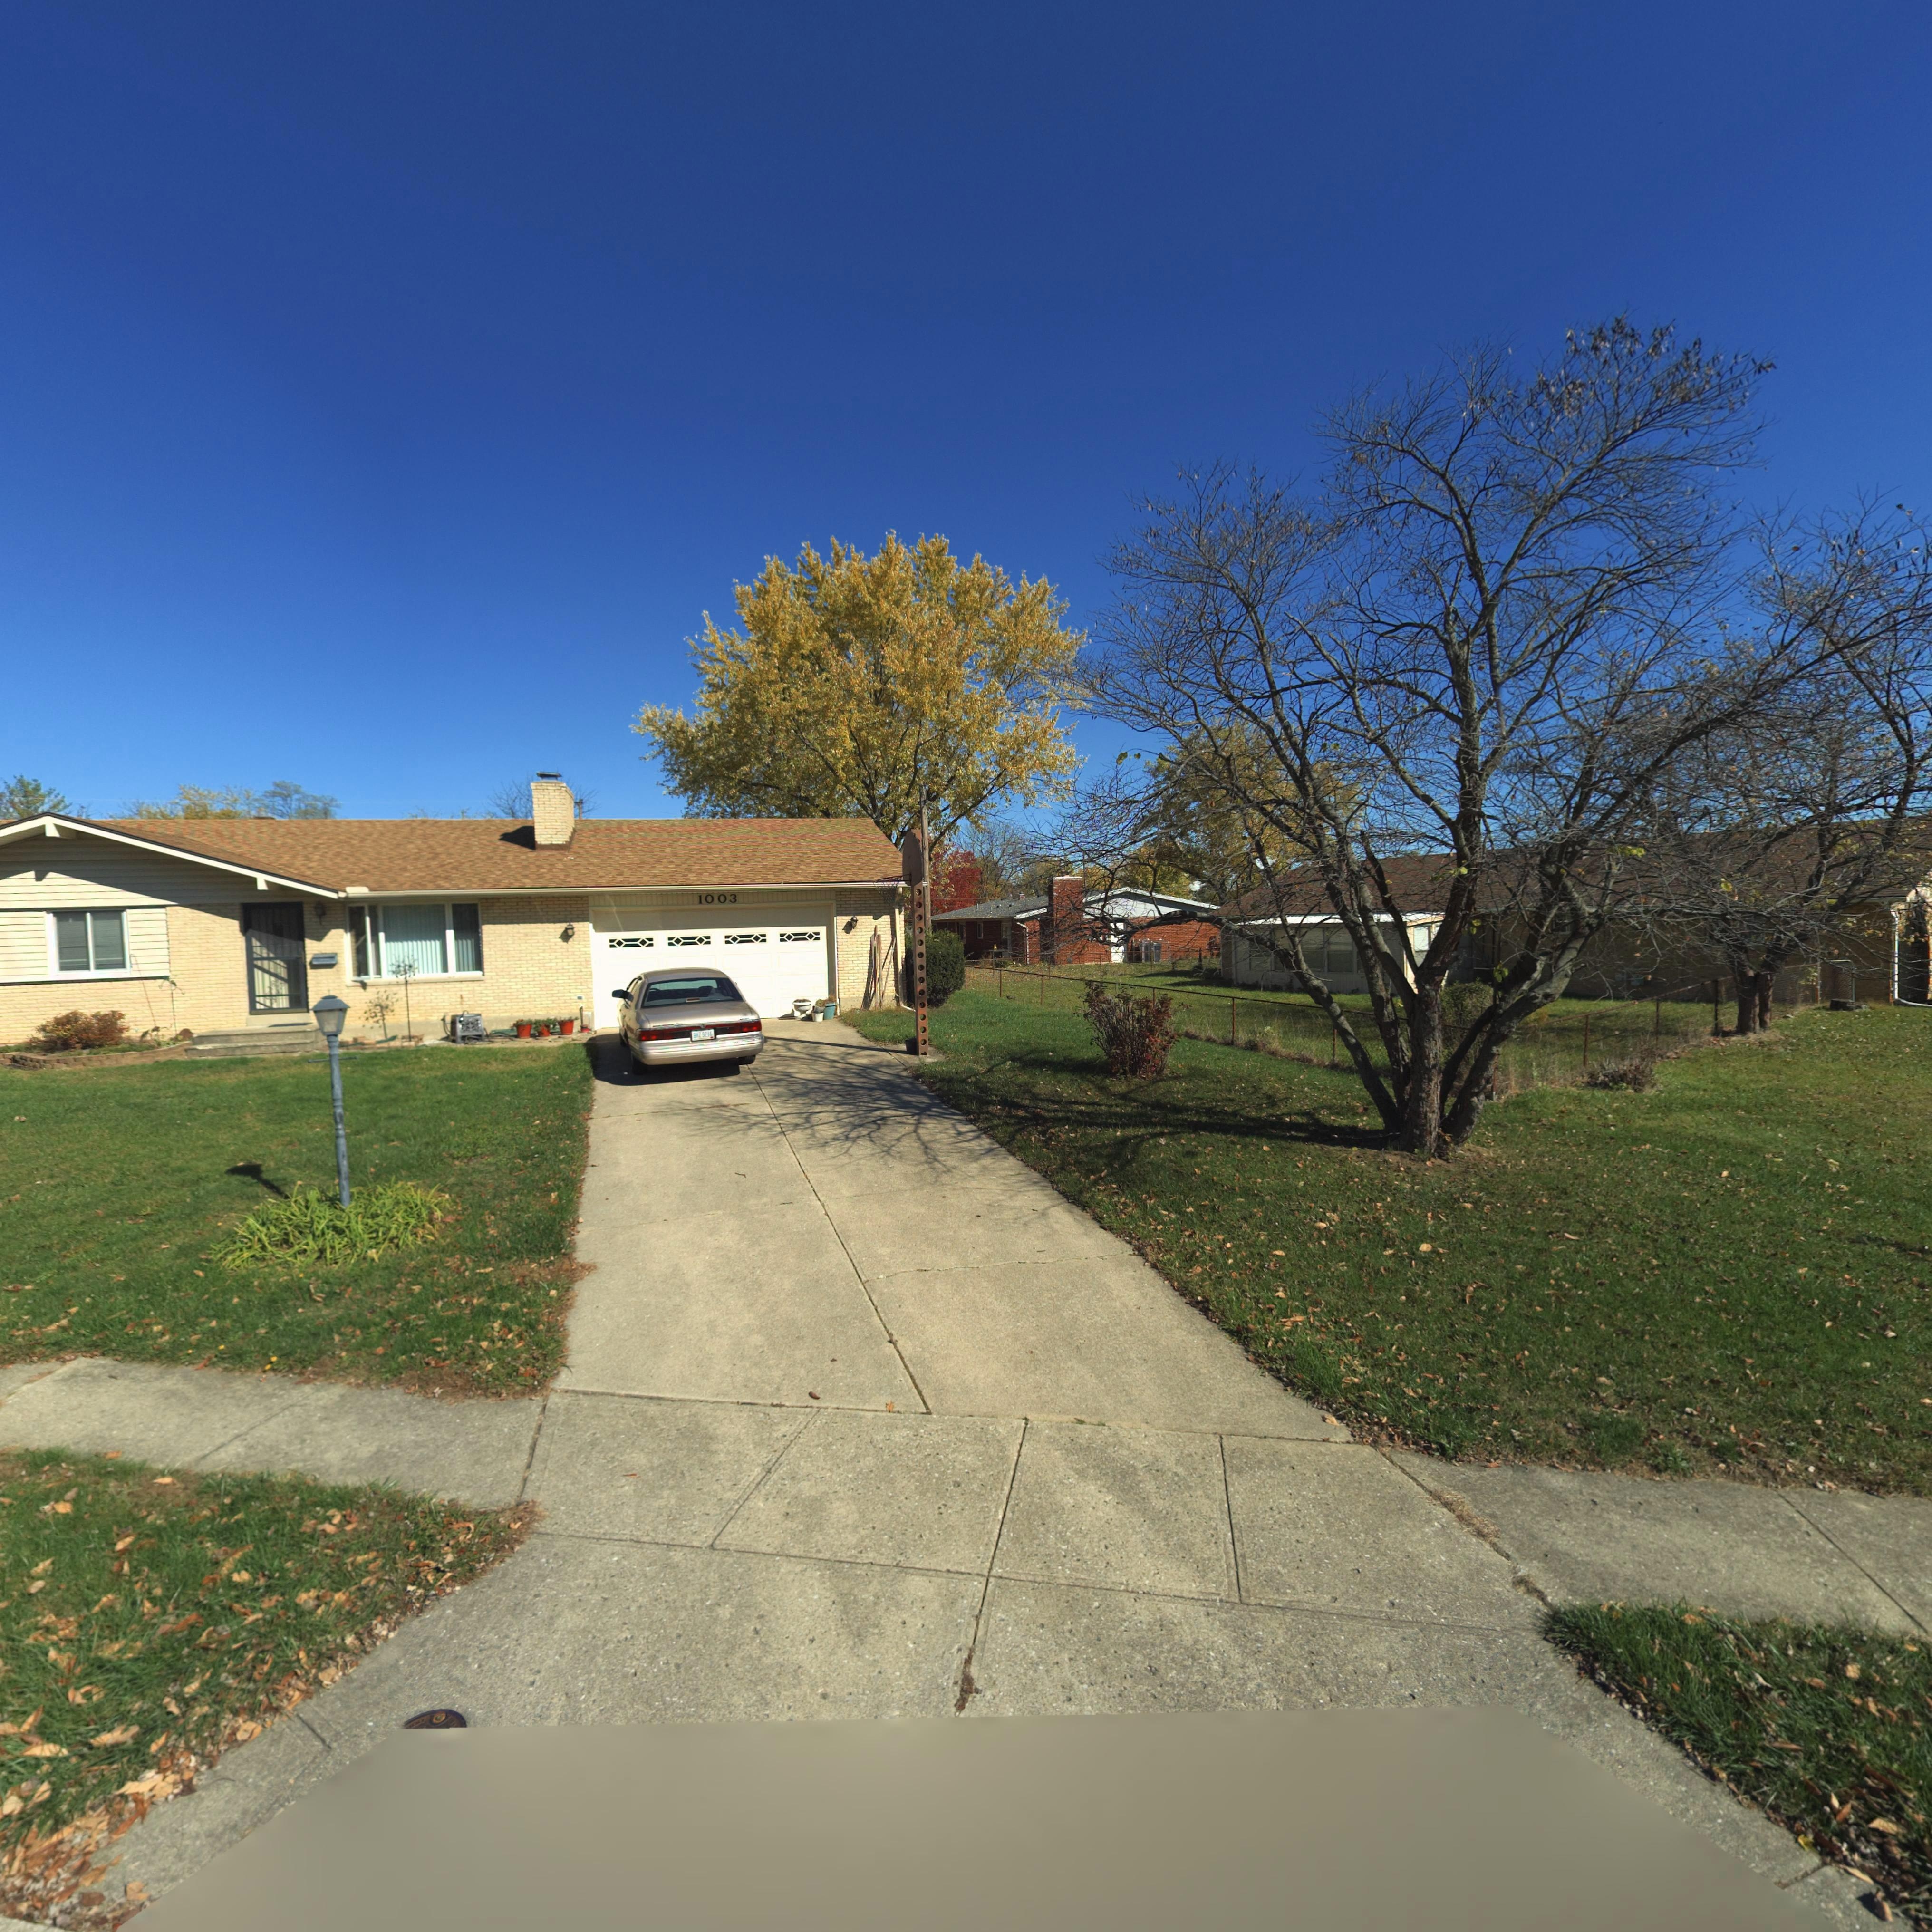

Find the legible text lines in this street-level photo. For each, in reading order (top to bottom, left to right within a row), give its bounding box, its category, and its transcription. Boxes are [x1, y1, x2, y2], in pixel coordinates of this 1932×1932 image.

[697, 893, 737, 905] StreetNumber: 1003